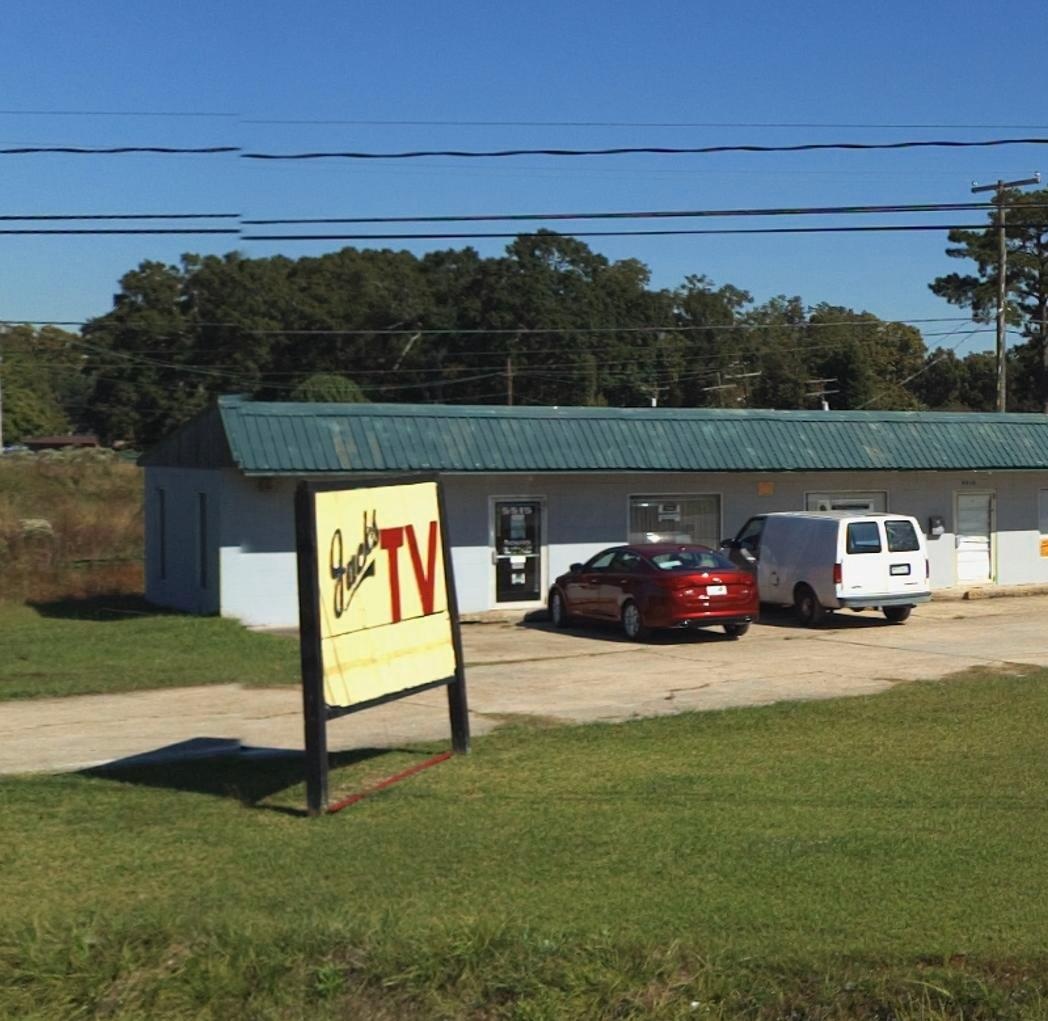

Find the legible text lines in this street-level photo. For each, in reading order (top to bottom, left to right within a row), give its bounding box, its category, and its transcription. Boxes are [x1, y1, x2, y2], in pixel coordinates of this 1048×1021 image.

[502, 506, 533, 515] StreetNumber: 5515
[330, 508, 380, 621] BusinessName: Jacks
[378, 520, 438, 625] BusinessName: TV